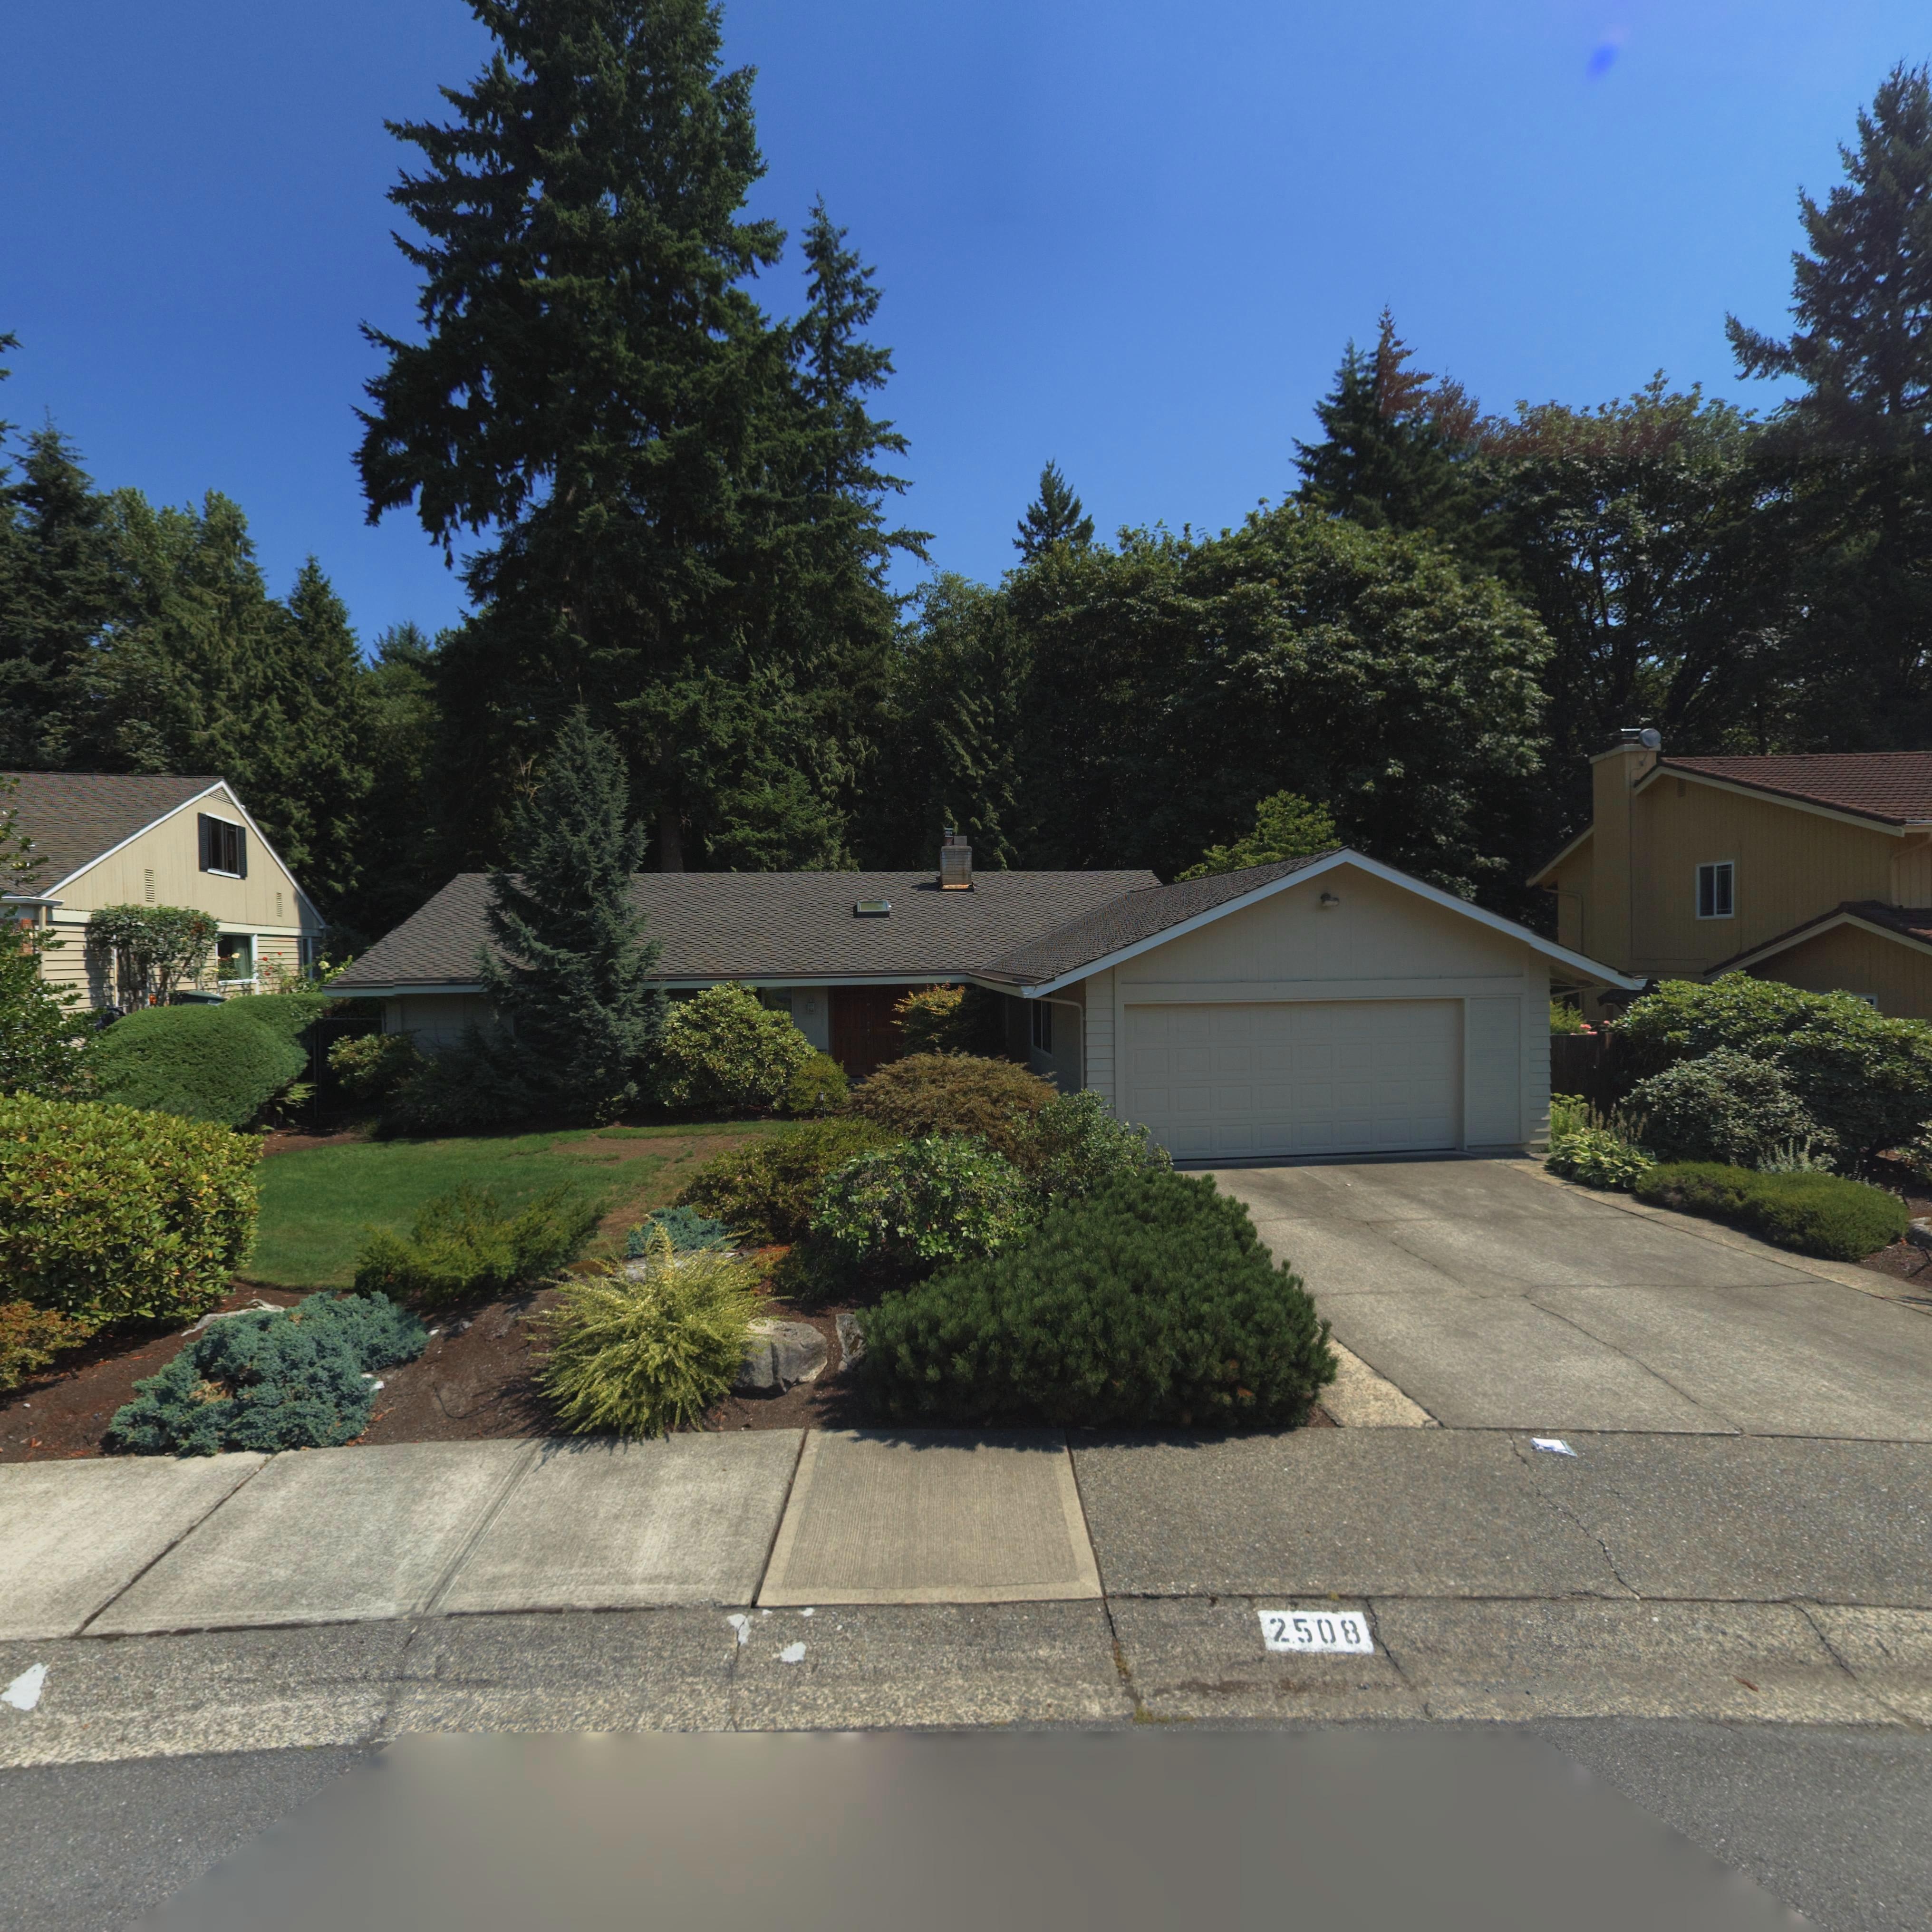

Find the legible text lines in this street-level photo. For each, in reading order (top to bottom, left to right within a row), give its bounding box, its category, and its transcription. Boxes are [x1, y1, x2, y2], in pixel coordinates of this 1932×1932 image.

[1267, 1616, 1362, 1645] StreetNumber: 2508